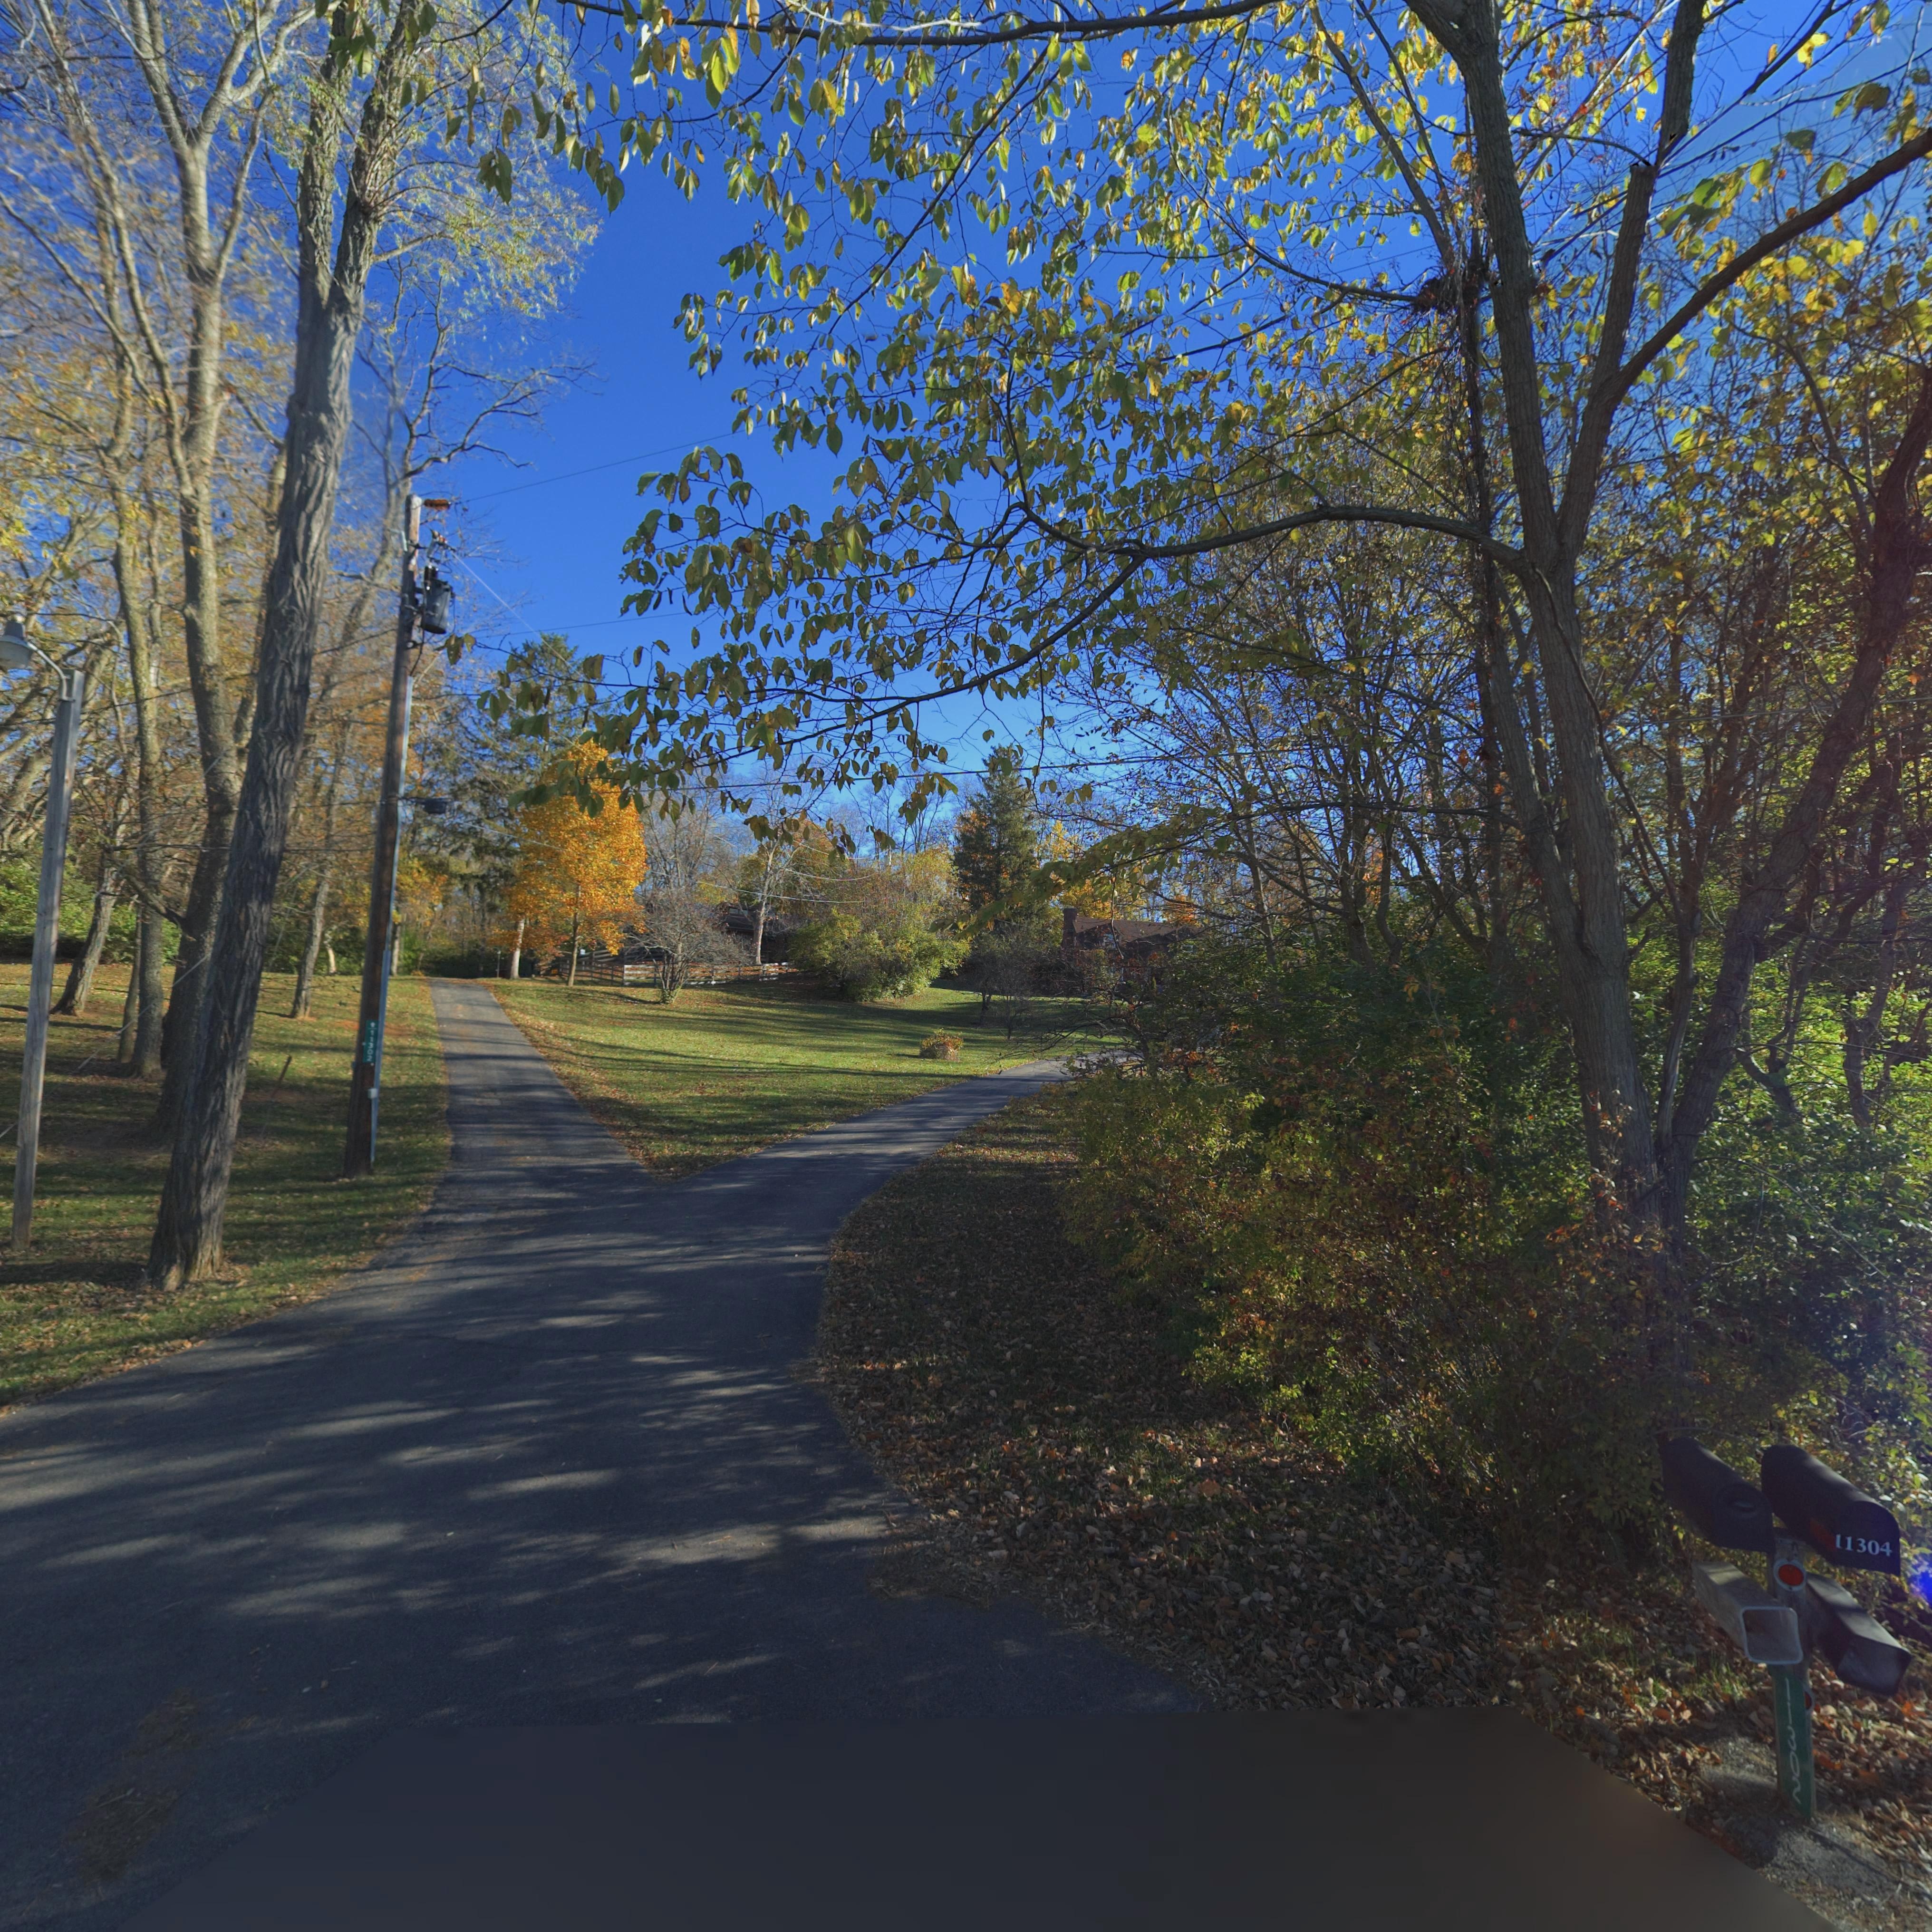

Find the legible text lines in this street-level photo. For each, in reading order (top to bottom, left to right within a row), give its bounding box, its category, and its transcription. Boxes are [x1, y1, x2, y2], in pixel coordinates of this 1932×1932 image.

[365, 1029, 376, 1063] StreetNumber: 11302
[1835, 1531, 1895, 1558] StreetNumber: 11304
[1782, 1675, 1804, 1806] StreetNumber: 11302